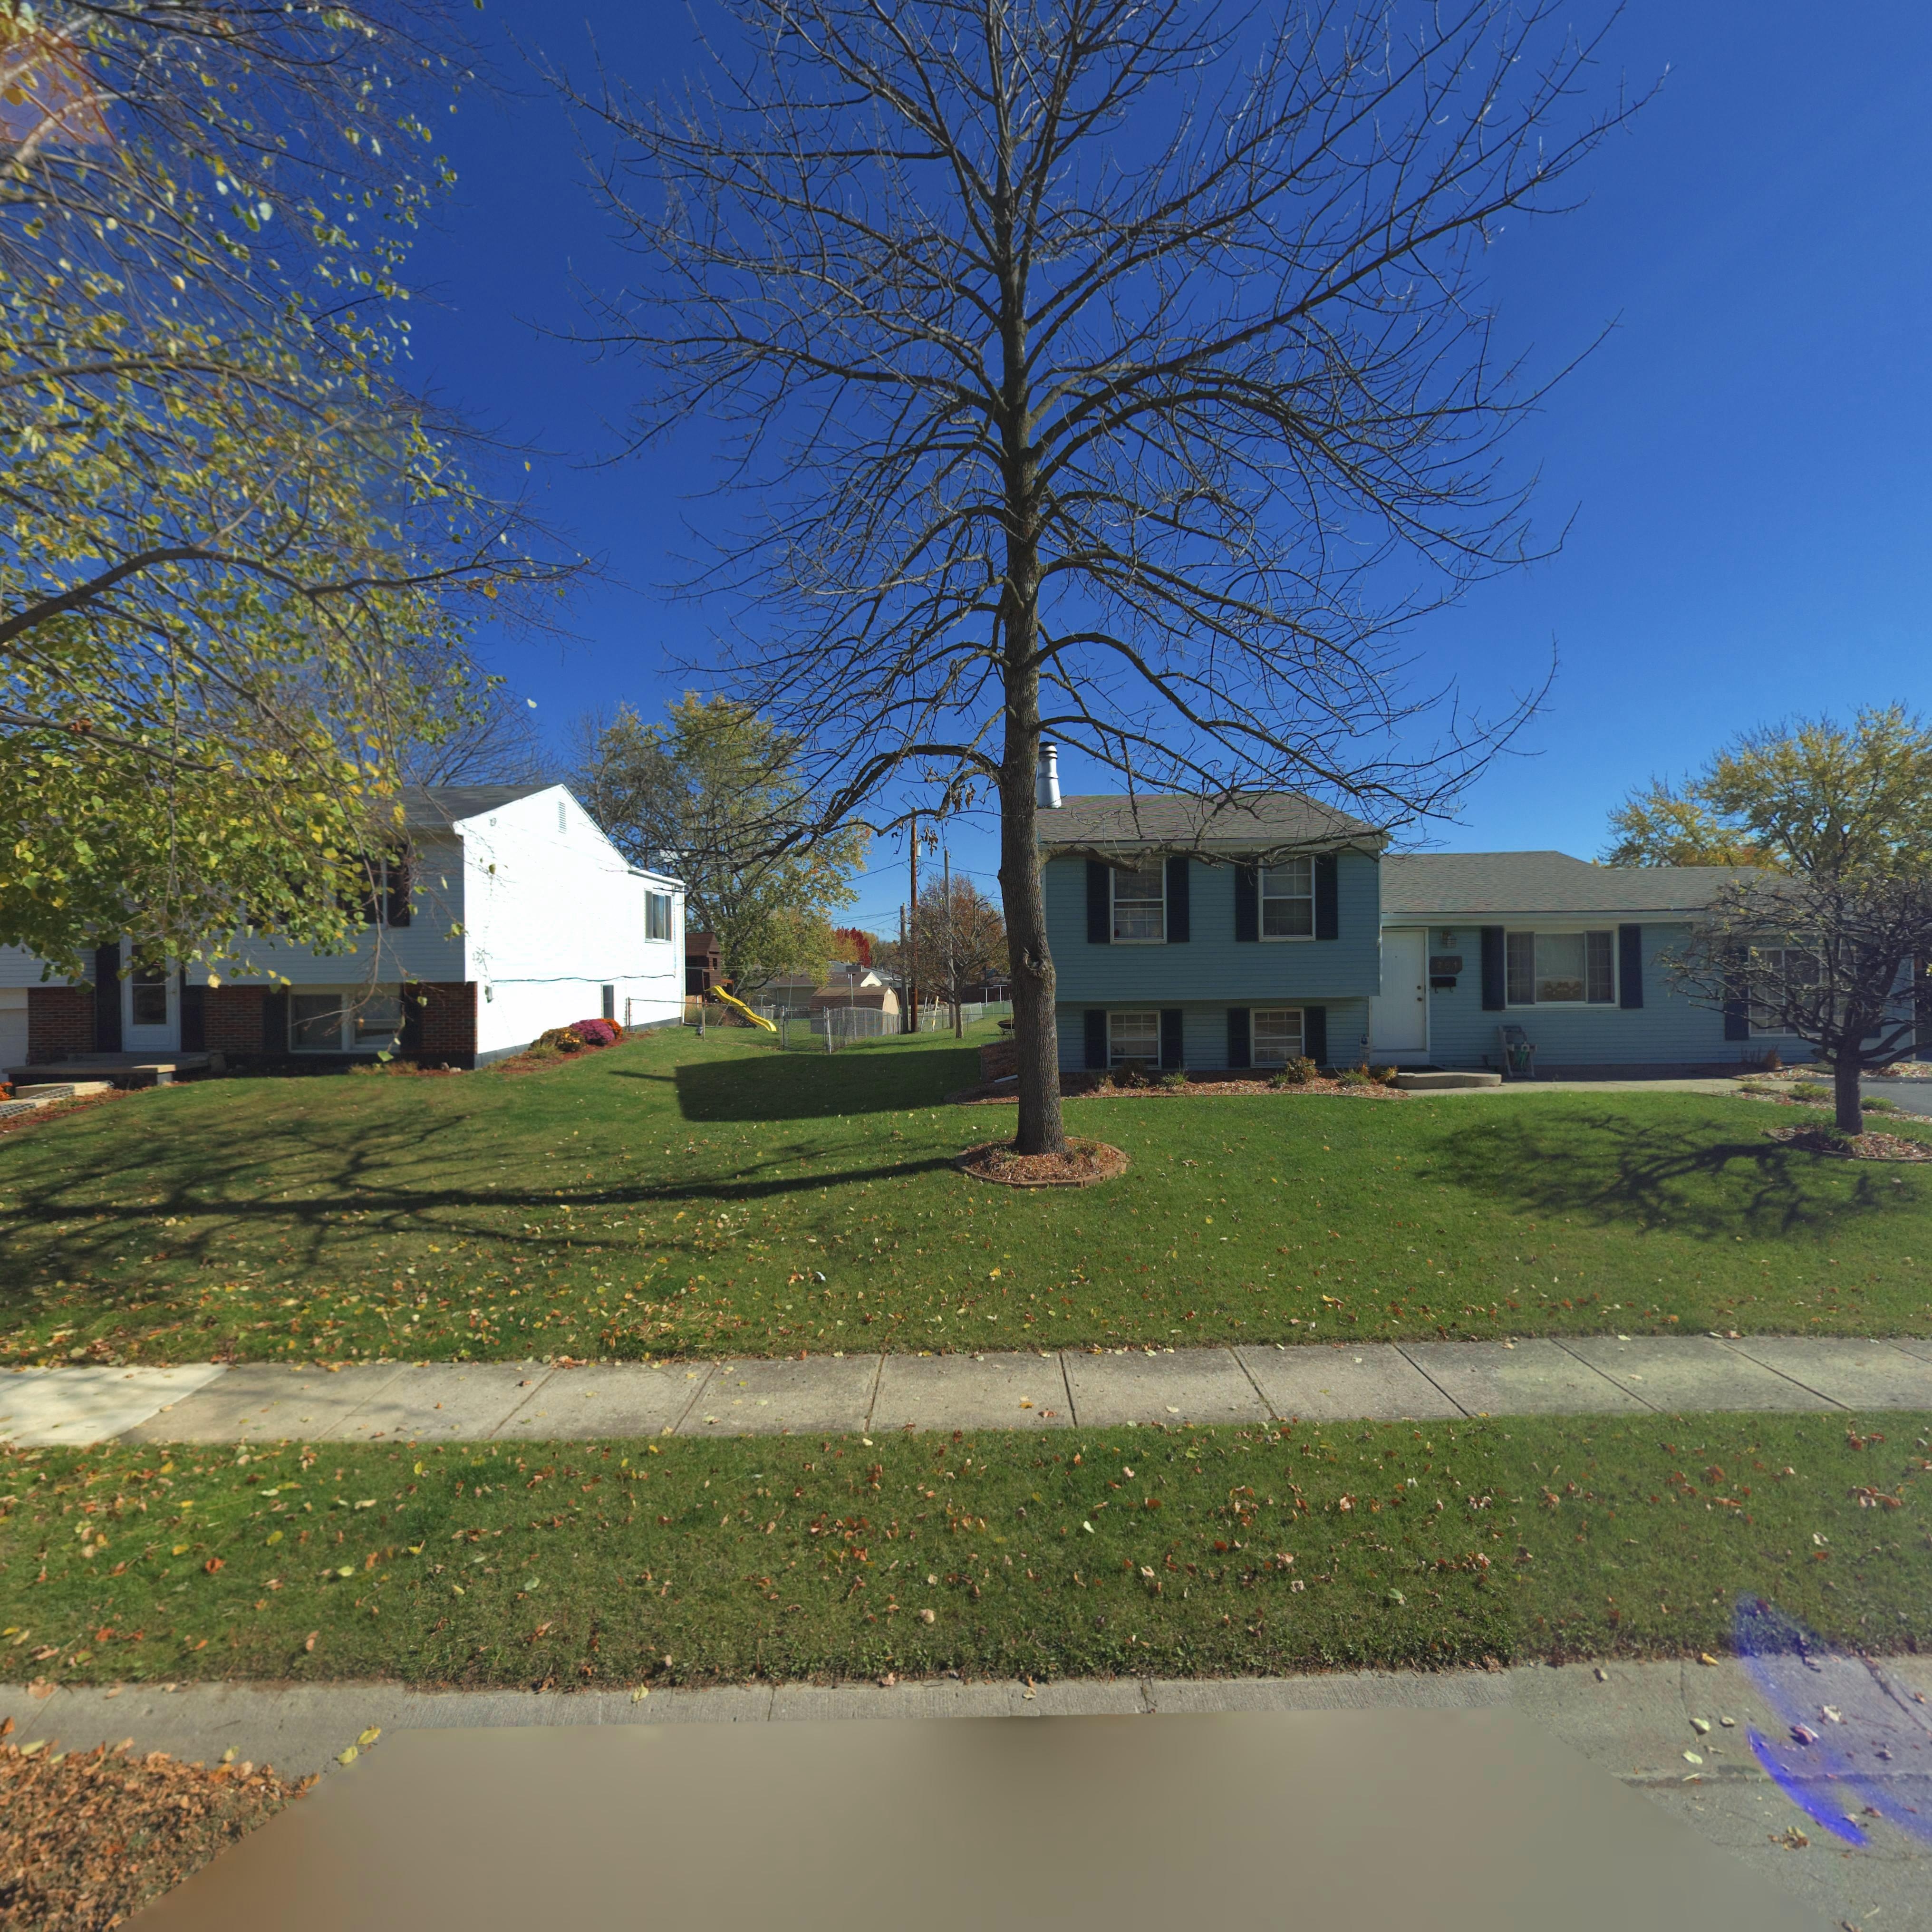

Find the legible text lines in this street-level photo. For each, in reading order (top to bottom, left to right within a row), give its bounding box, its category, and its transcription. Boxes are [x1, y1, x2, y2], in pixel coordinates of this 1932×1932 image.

[1436, 960, 1458, 970] StreetNumber: 251